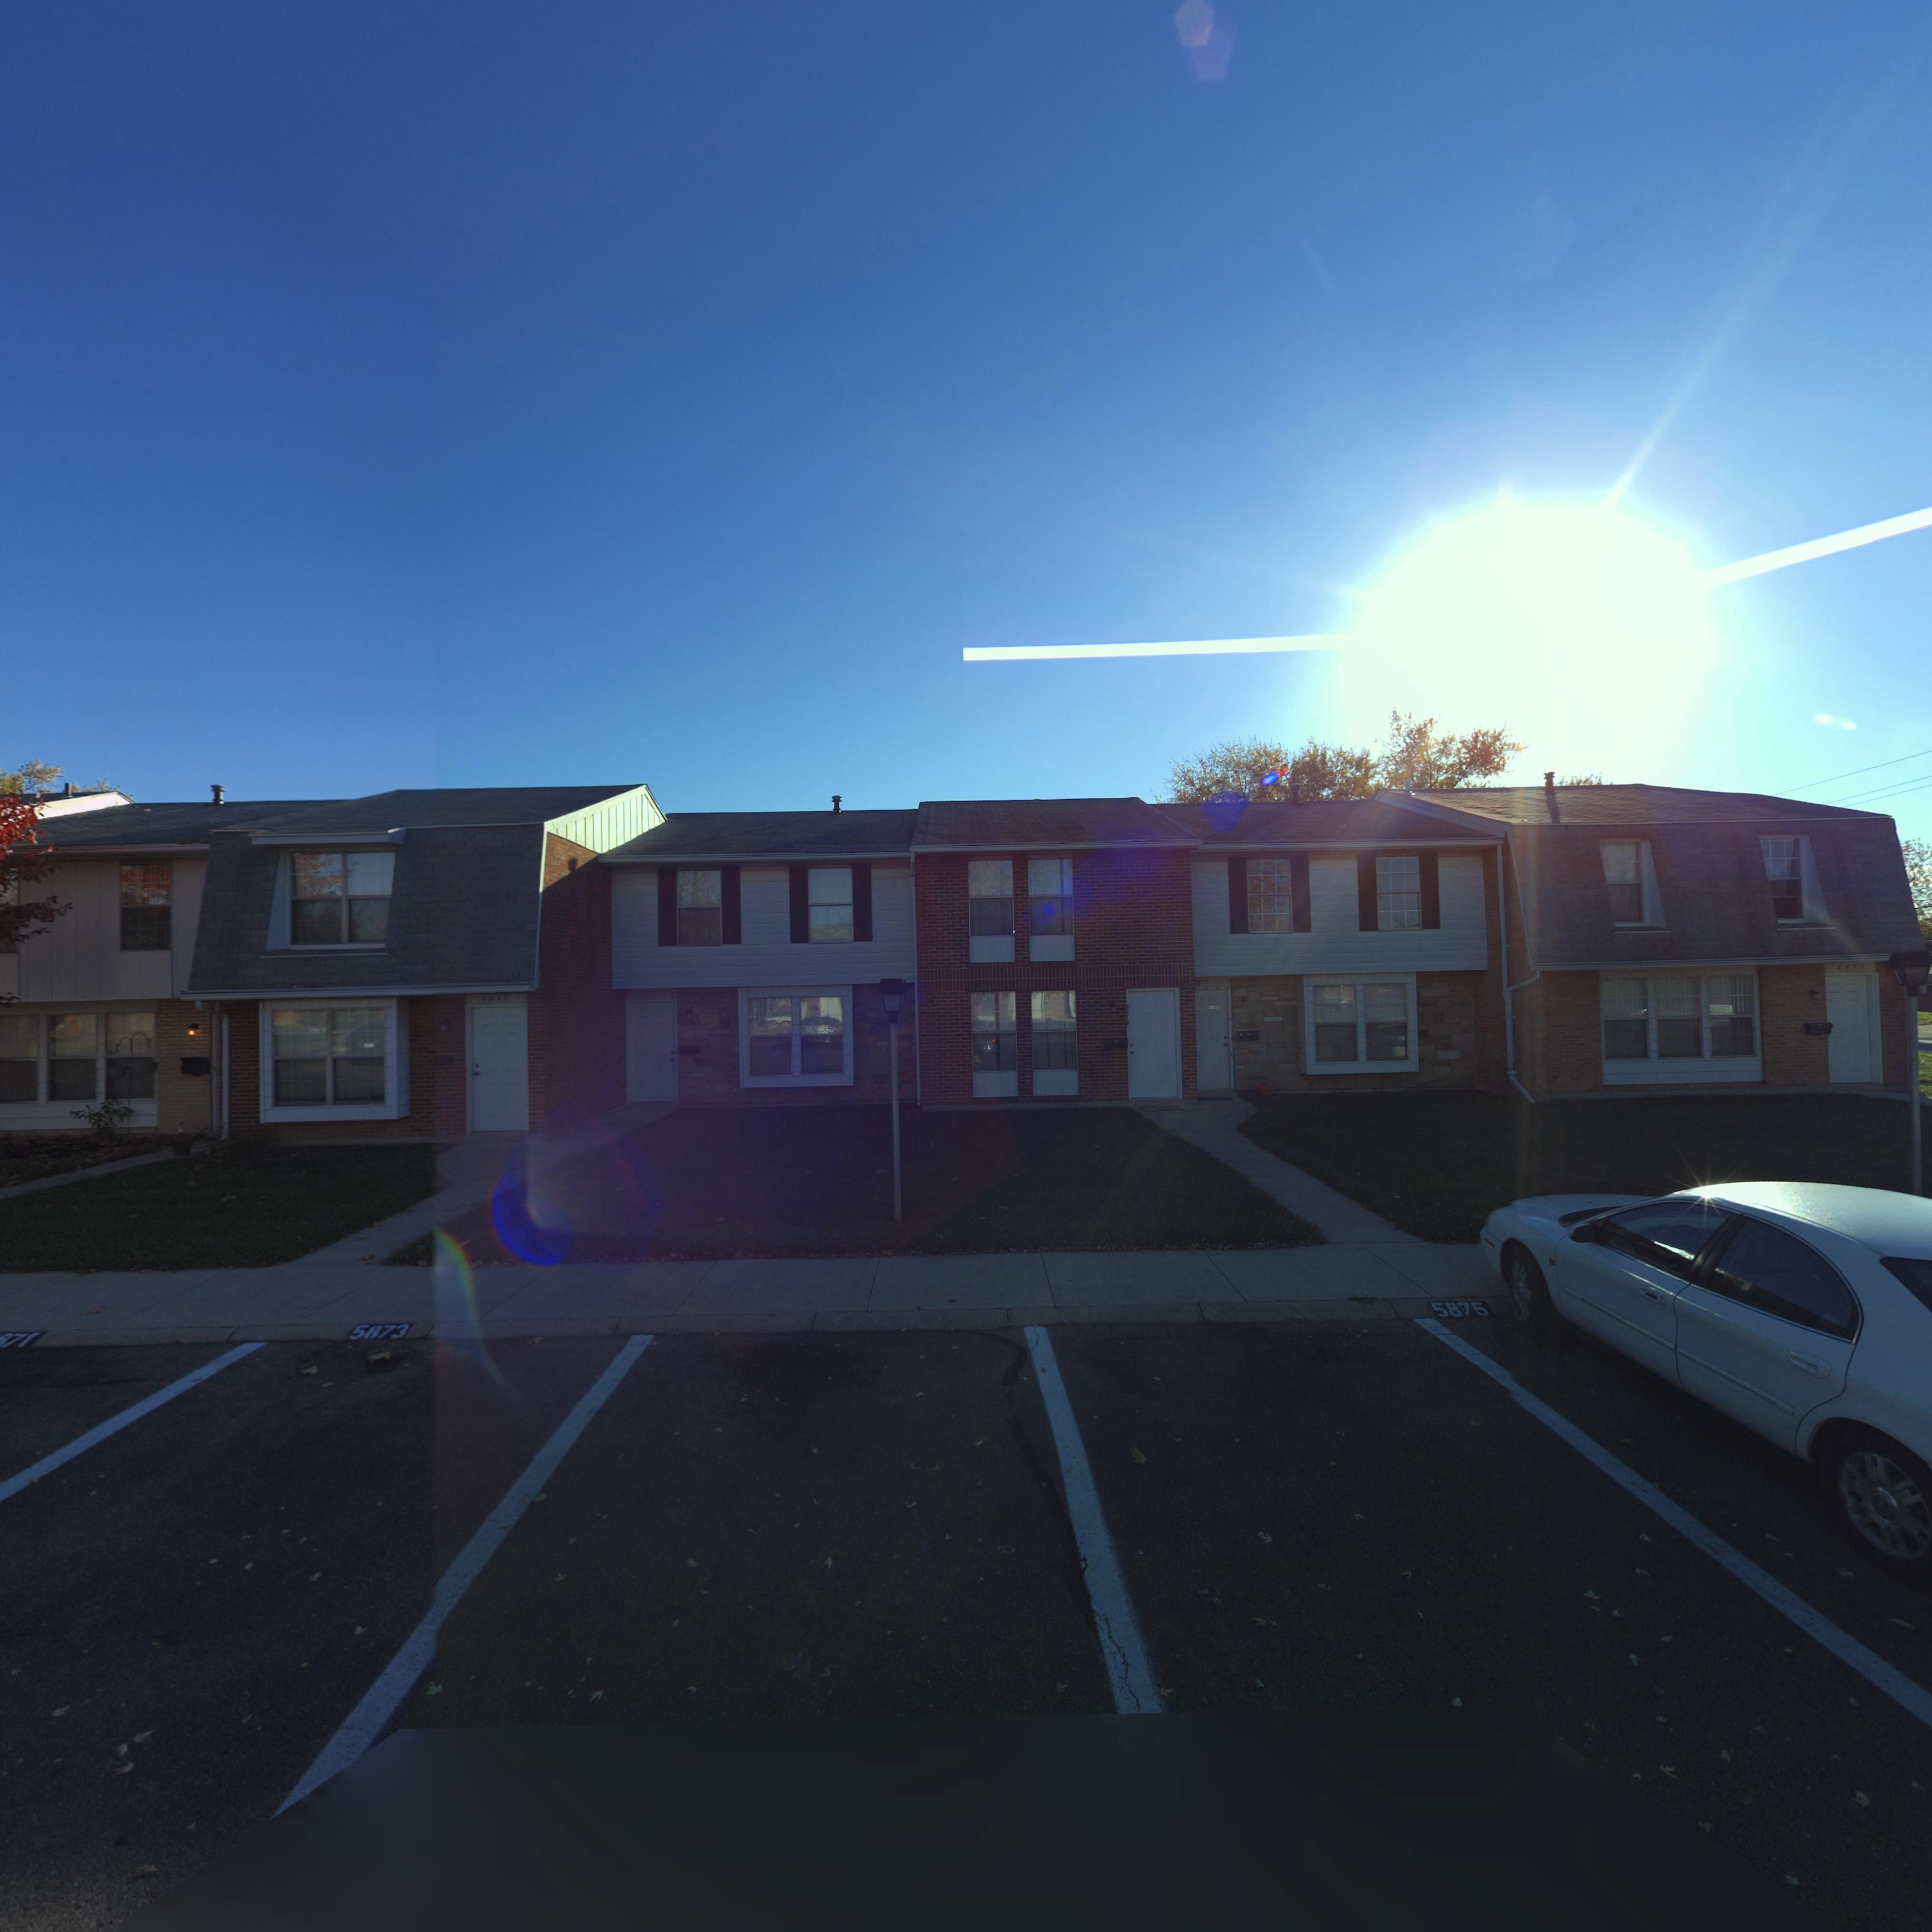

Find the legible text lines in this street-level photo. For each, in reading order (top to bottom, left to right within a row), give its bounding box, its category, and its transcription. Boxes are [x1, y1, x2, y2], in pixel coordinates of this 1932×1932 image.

[1196, 978, 1210, 987] StreetNumber: **7
[480, 993, 510, 1004] StreetNumber: **7*
[1125, 1003, 1130, 1027] StreetNumber: 5*75
[1430, 1301, 1491, 1319] StreetNumber: 5875
[0, 1330, 43, 1349] StreetNumber: 71
[348, 1323, 412, 1342] StreetNumber: 5873